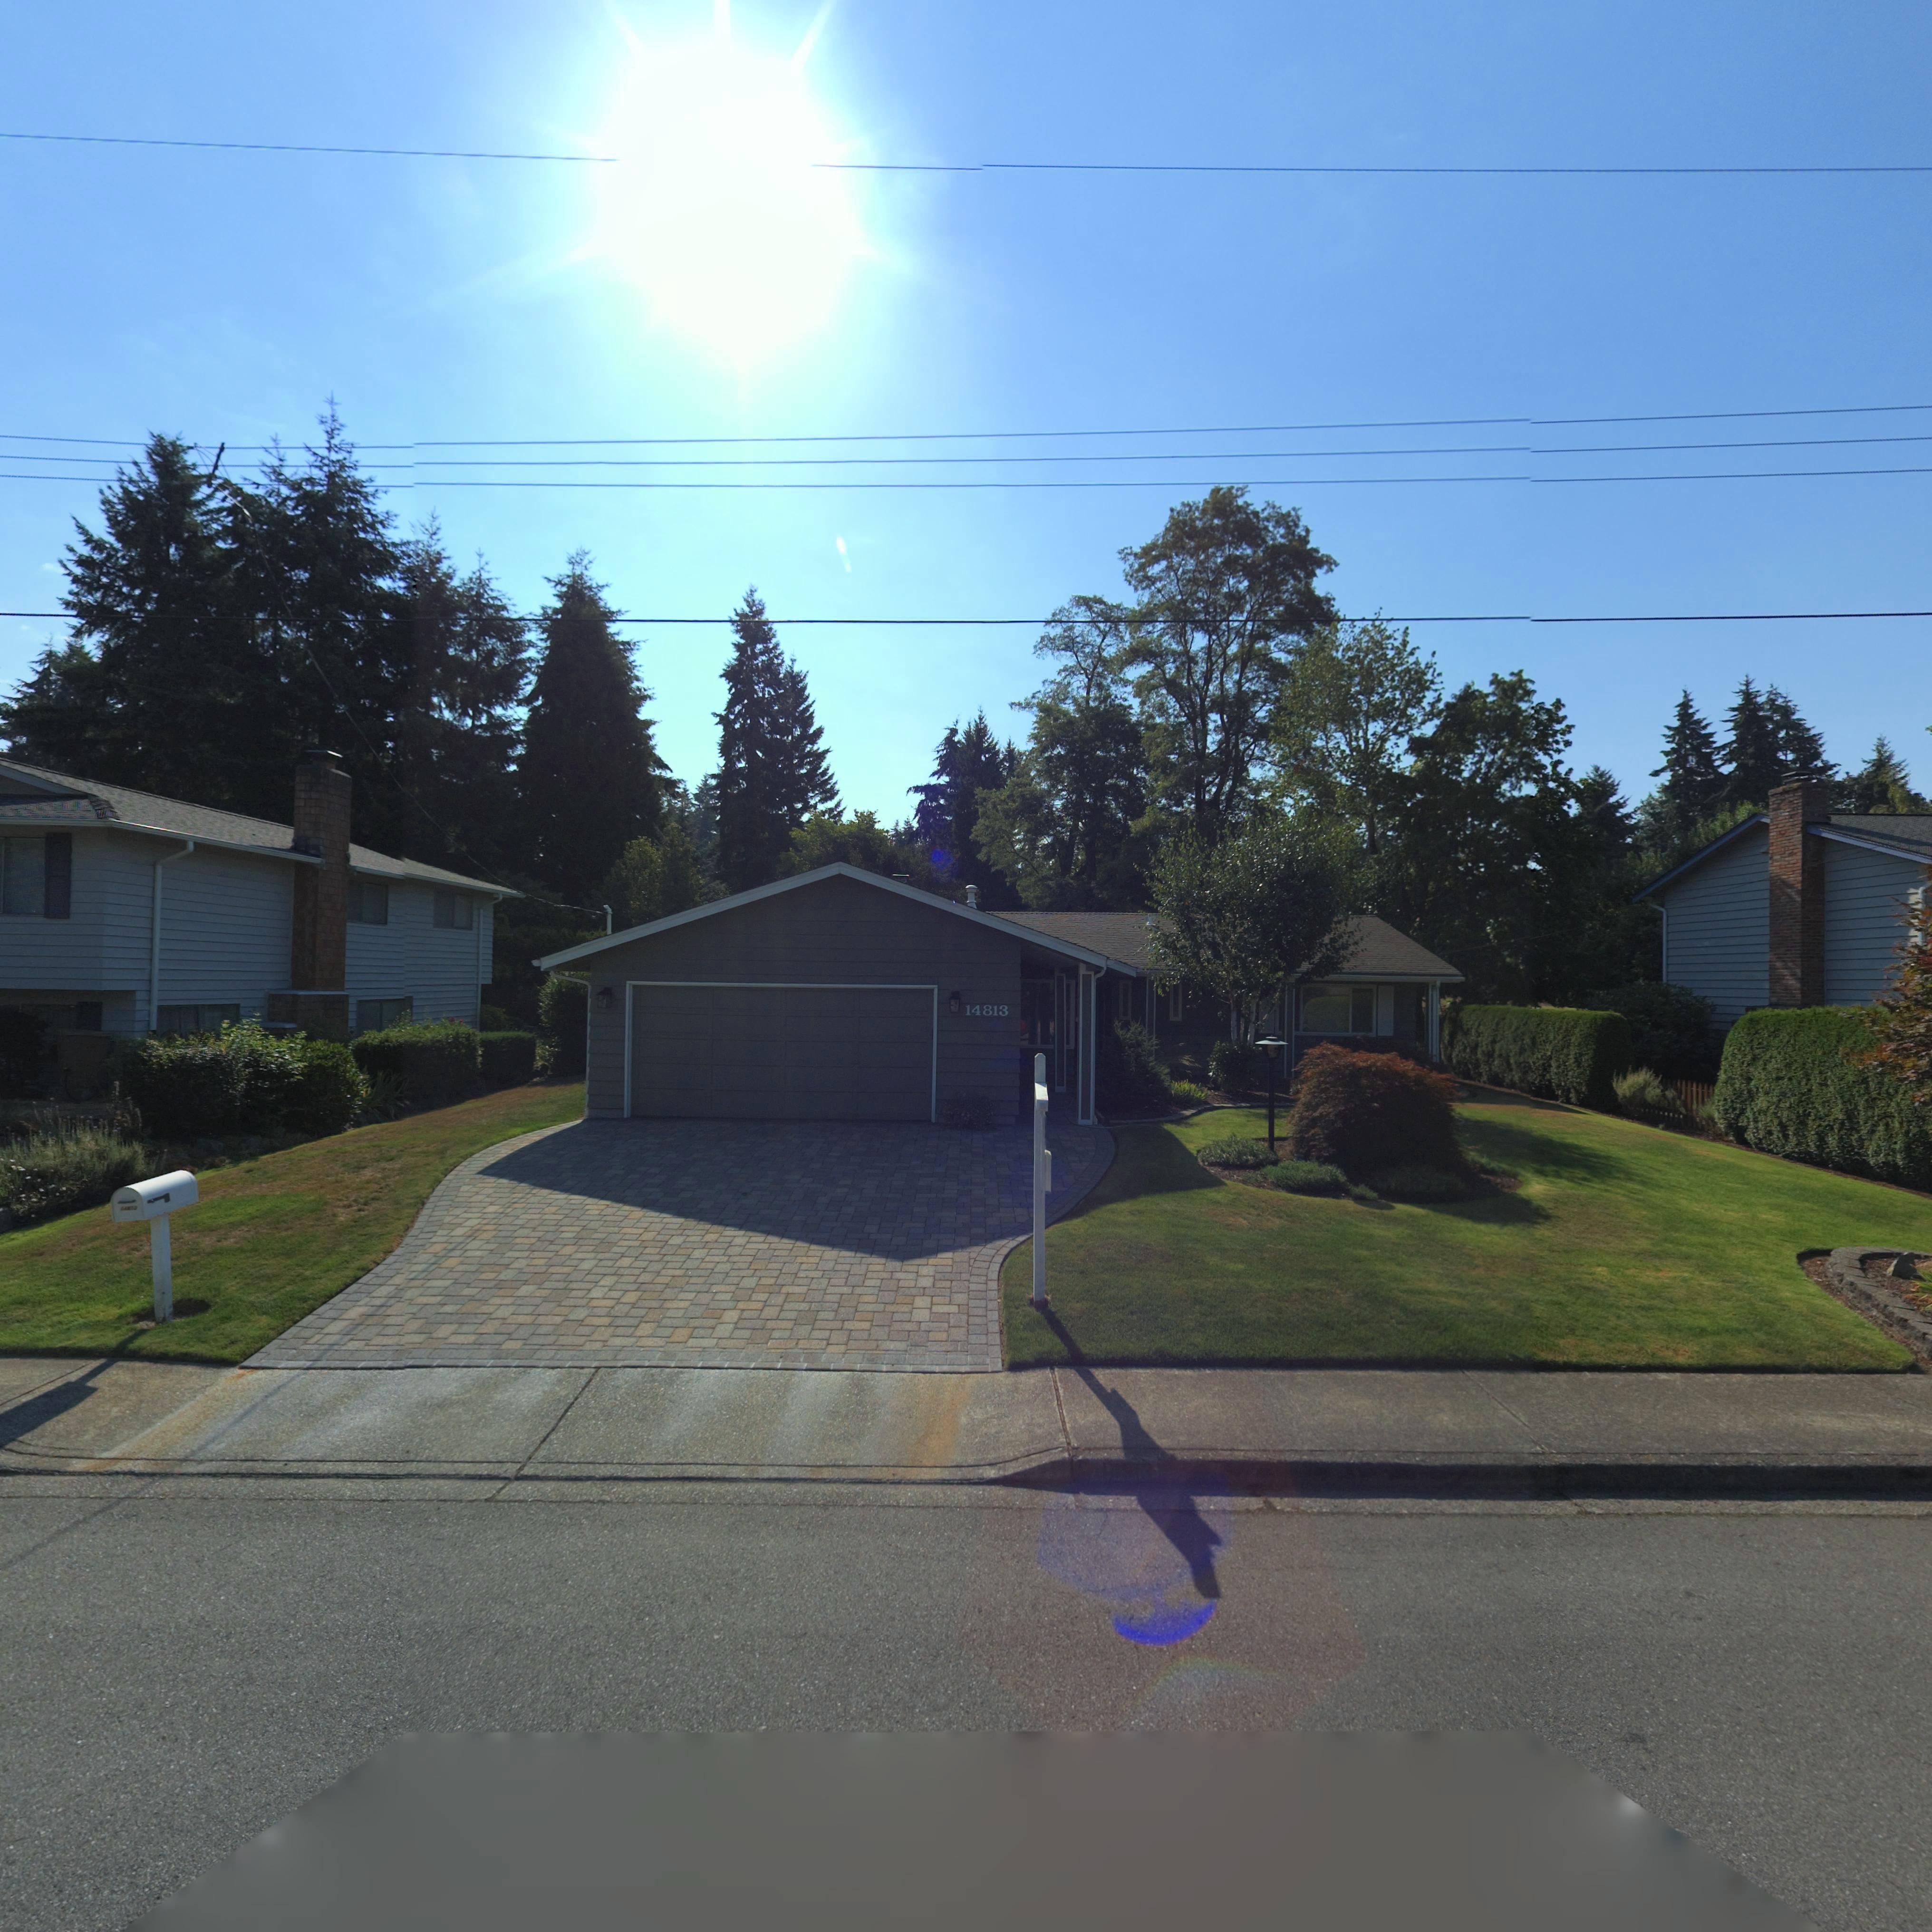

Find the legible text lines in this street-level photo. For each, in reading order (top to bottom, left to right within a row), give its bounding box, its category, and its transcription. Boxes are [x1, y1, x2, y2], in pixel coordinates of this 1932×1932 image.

[965, 1005, 1008, 1016] StreetNumber: 14813